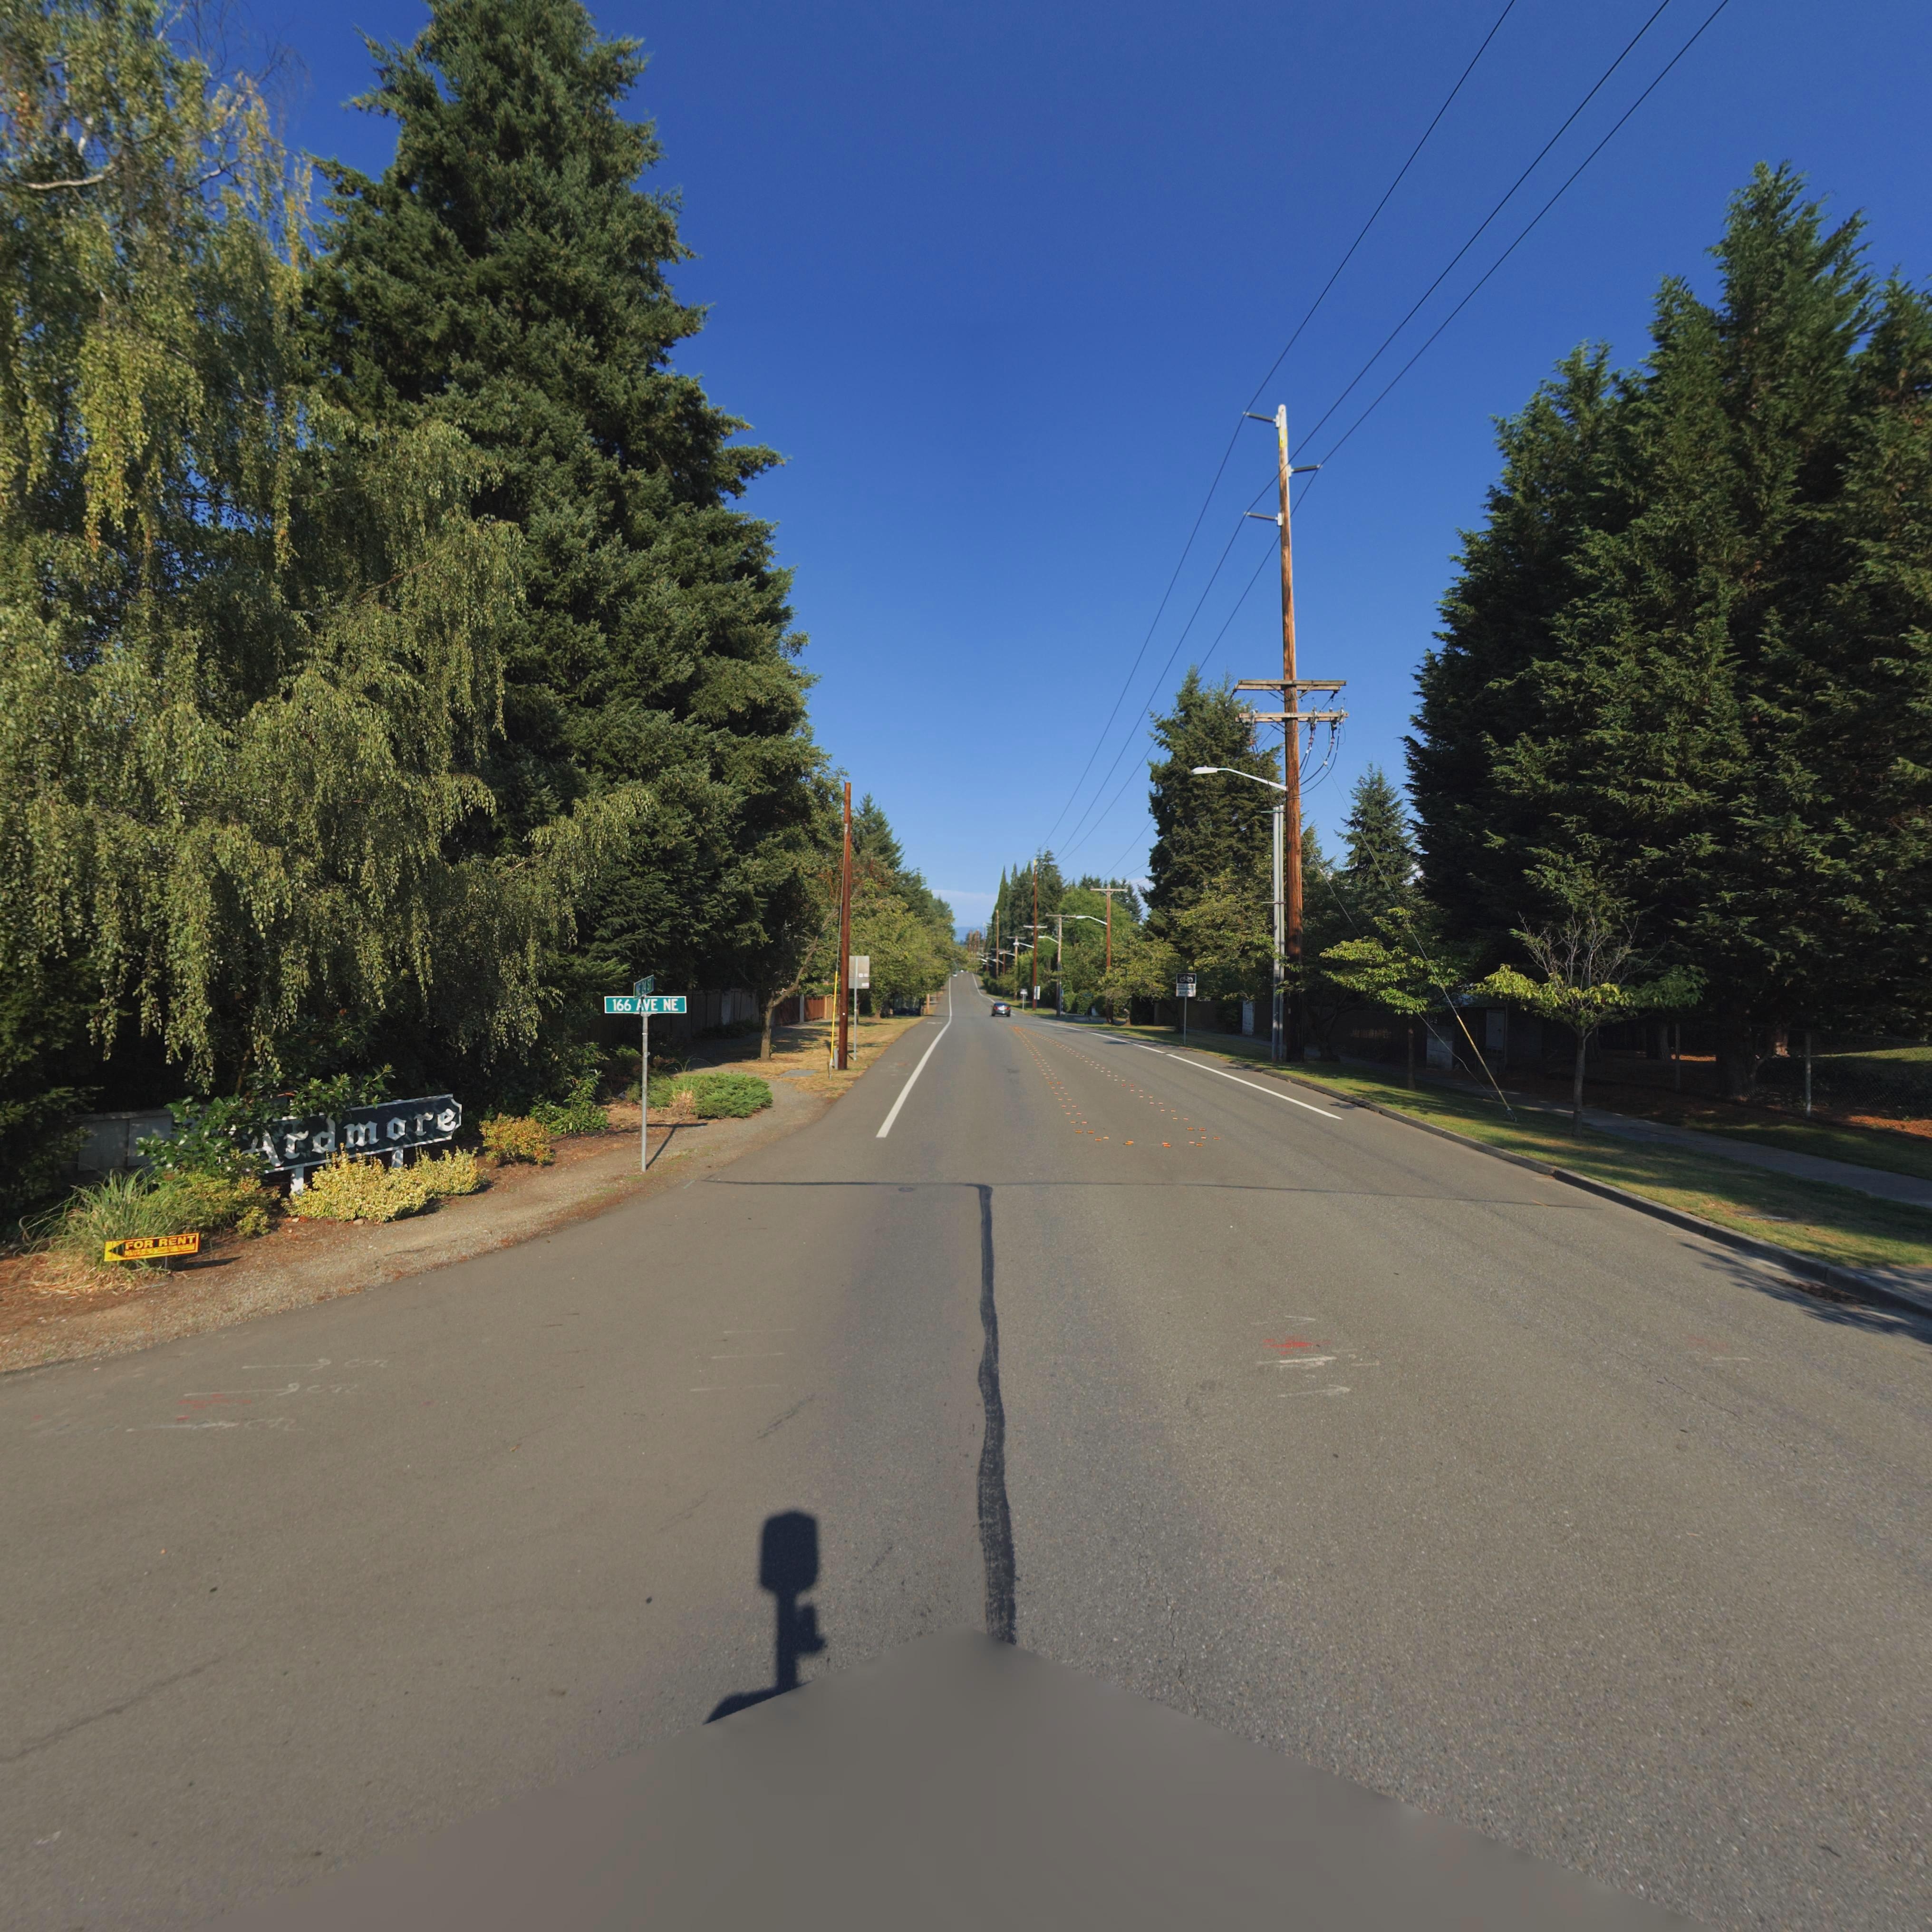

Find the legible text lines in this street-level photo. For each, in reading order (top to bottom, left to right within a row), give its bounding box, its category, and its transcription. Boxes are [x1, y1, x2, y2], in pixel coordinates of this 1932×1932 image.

[242, 1104, 459, 1177] BusinessName: Ardmore